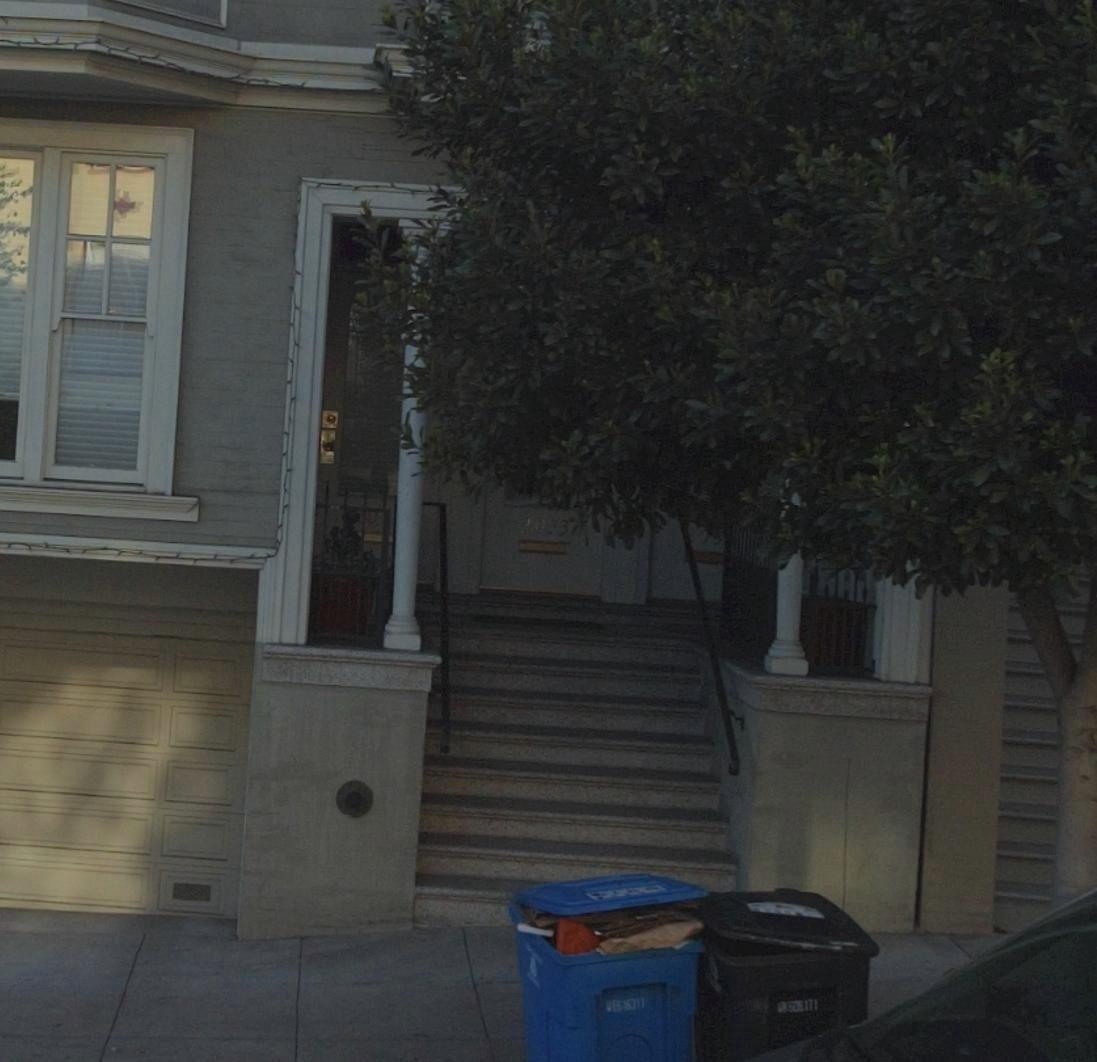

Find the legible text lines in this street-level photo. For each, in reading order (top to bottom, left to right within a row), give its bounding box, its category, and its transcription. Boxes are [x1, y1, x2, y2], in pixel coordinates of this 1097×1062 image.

[518, 515, 571, 538] StreetNumber: 2033